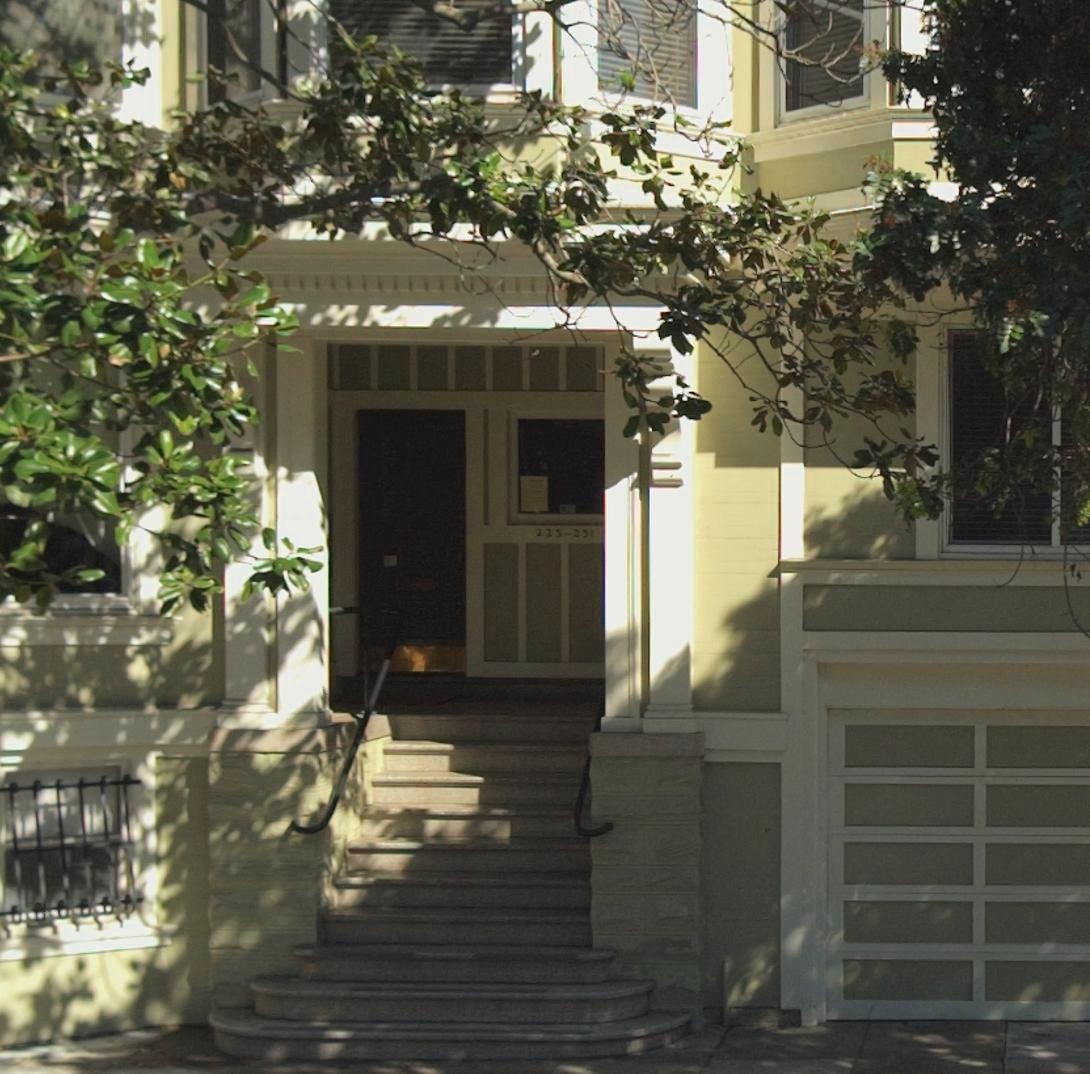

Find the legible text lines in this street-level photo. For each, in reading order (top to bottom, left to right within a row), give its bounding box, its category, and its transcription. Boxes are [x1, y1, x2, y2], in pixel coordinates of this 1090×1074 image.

[536, 527, 563, 538] StreetNumber: 225
[572, 527, 596, 539] StreetNumber: 231